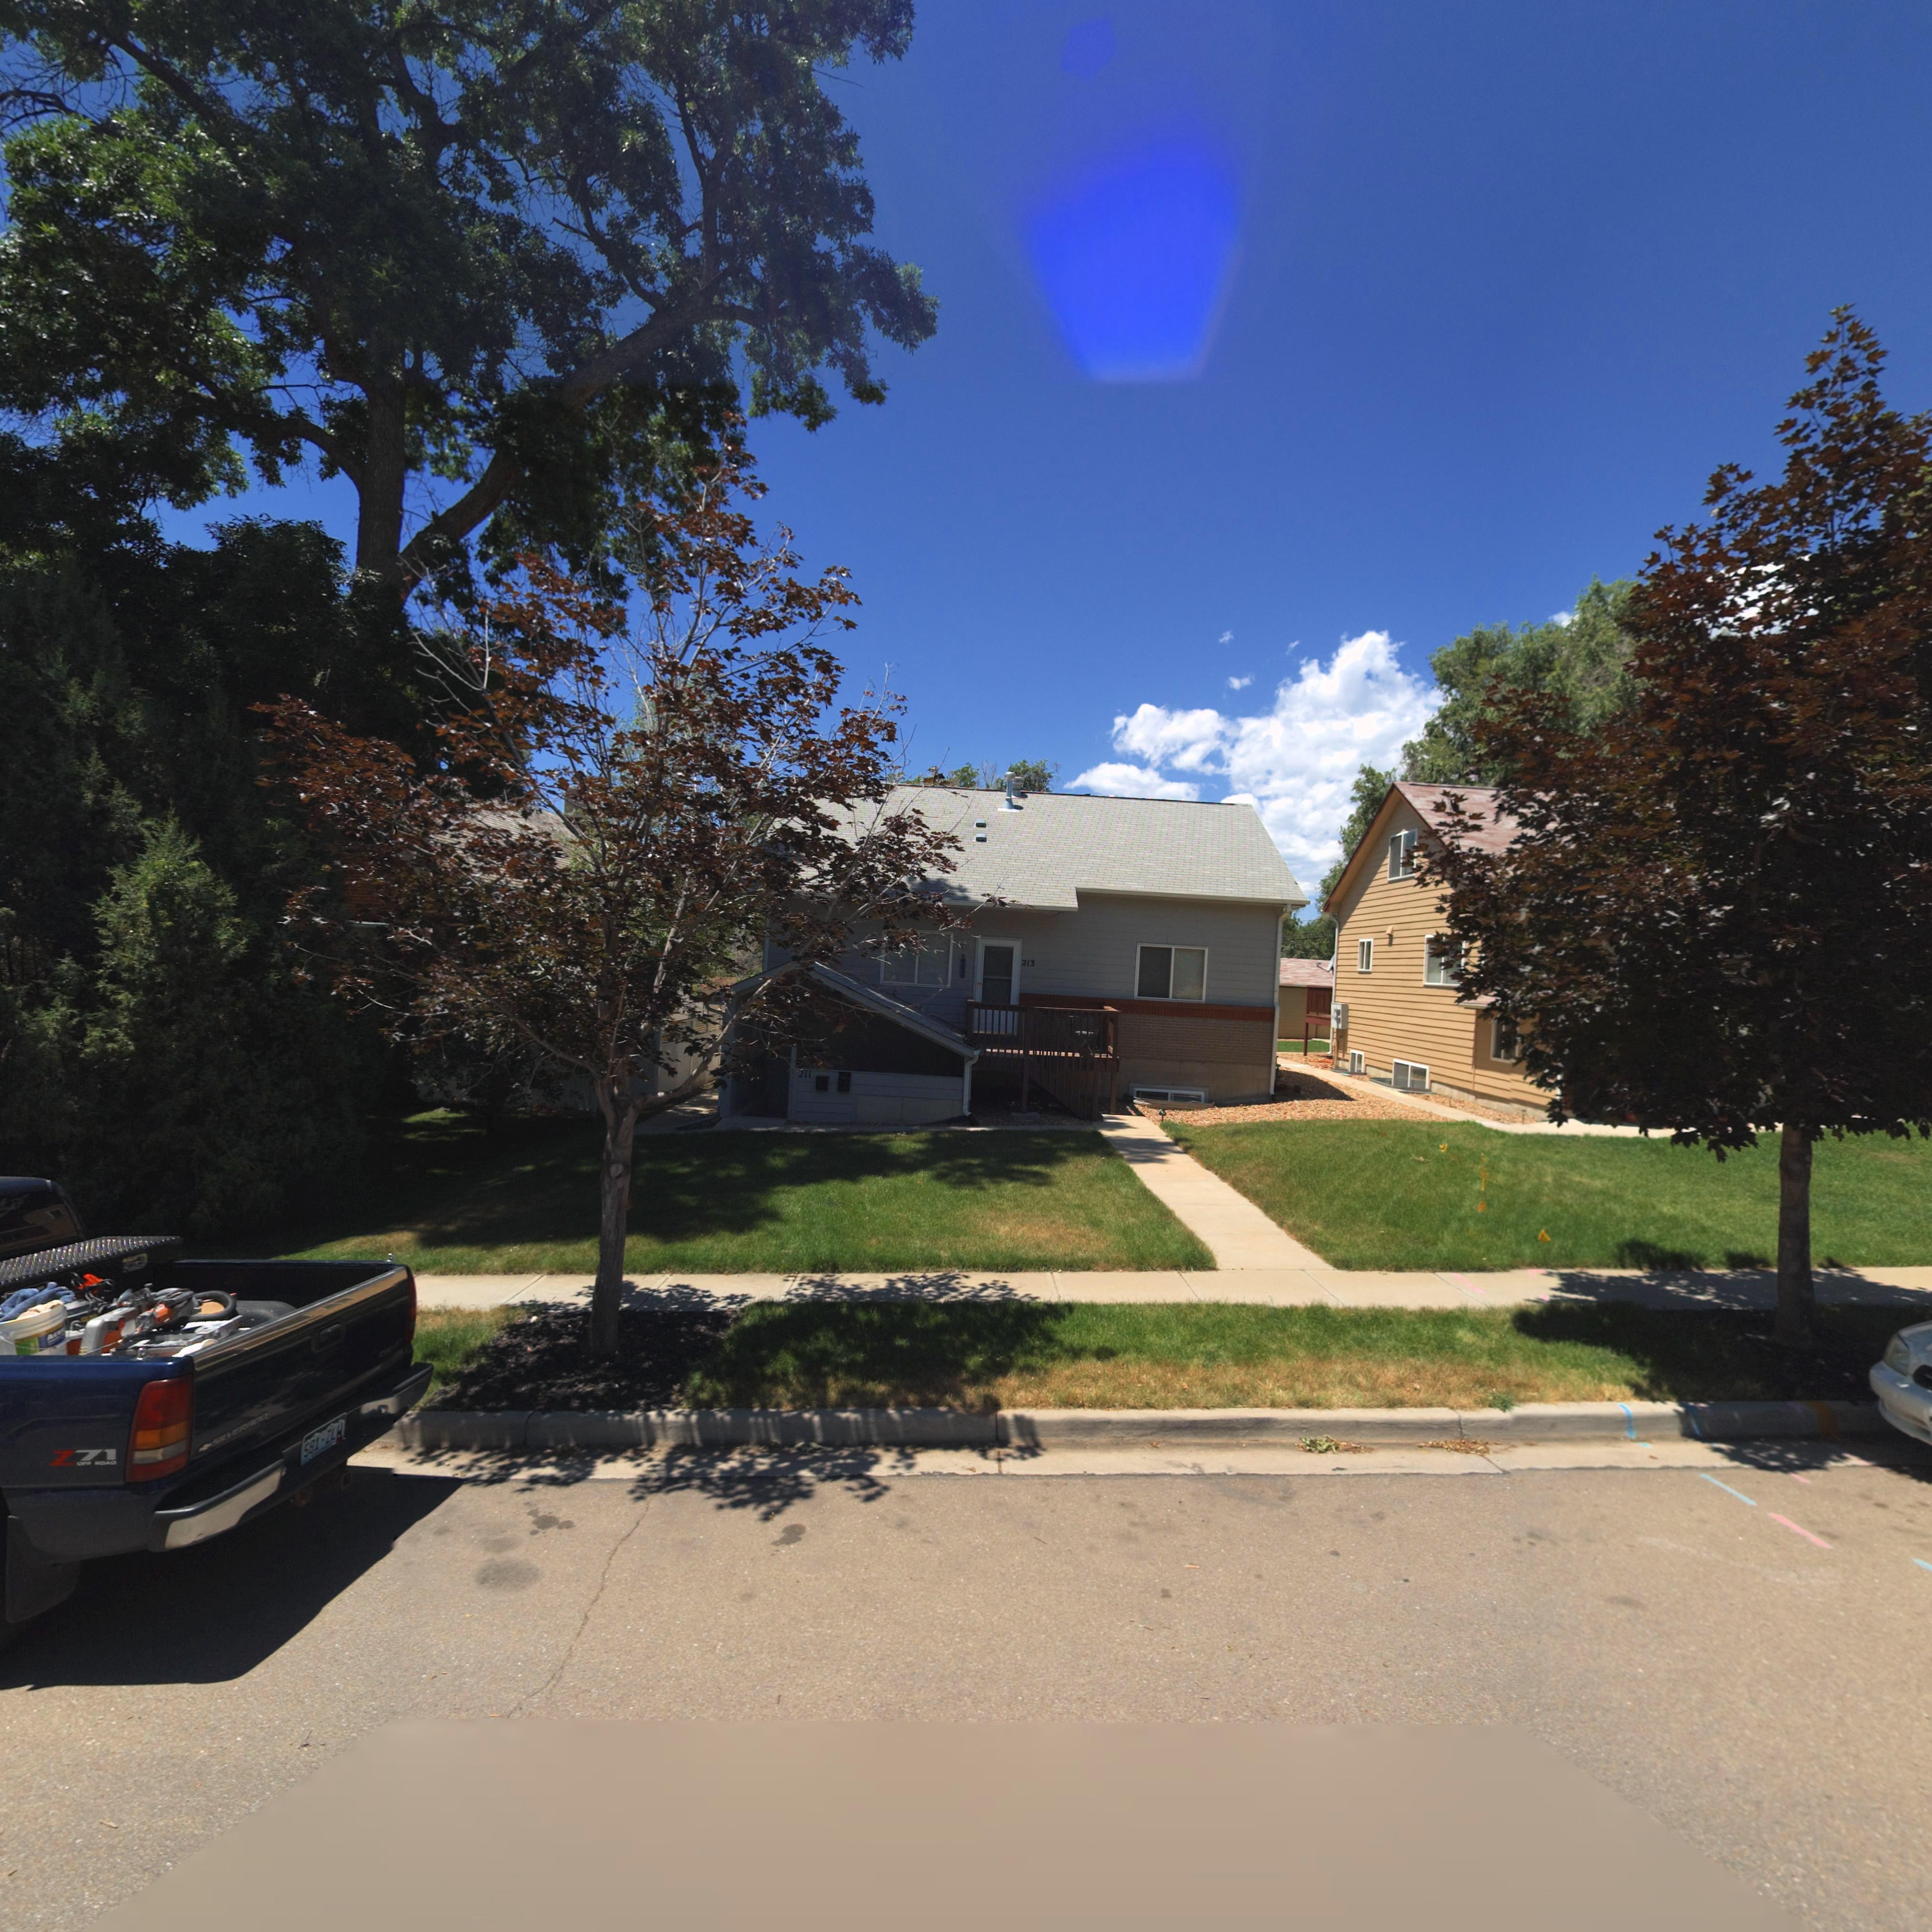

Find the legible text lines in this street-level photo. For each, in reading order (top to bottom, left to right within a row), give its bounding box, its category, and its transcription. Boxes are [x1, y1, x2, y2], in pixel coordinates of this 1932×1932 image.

[1021, 959, 1035, 967] StreetNumber: 213
[798, 1069, 811, 1079] StreetNumber: 211